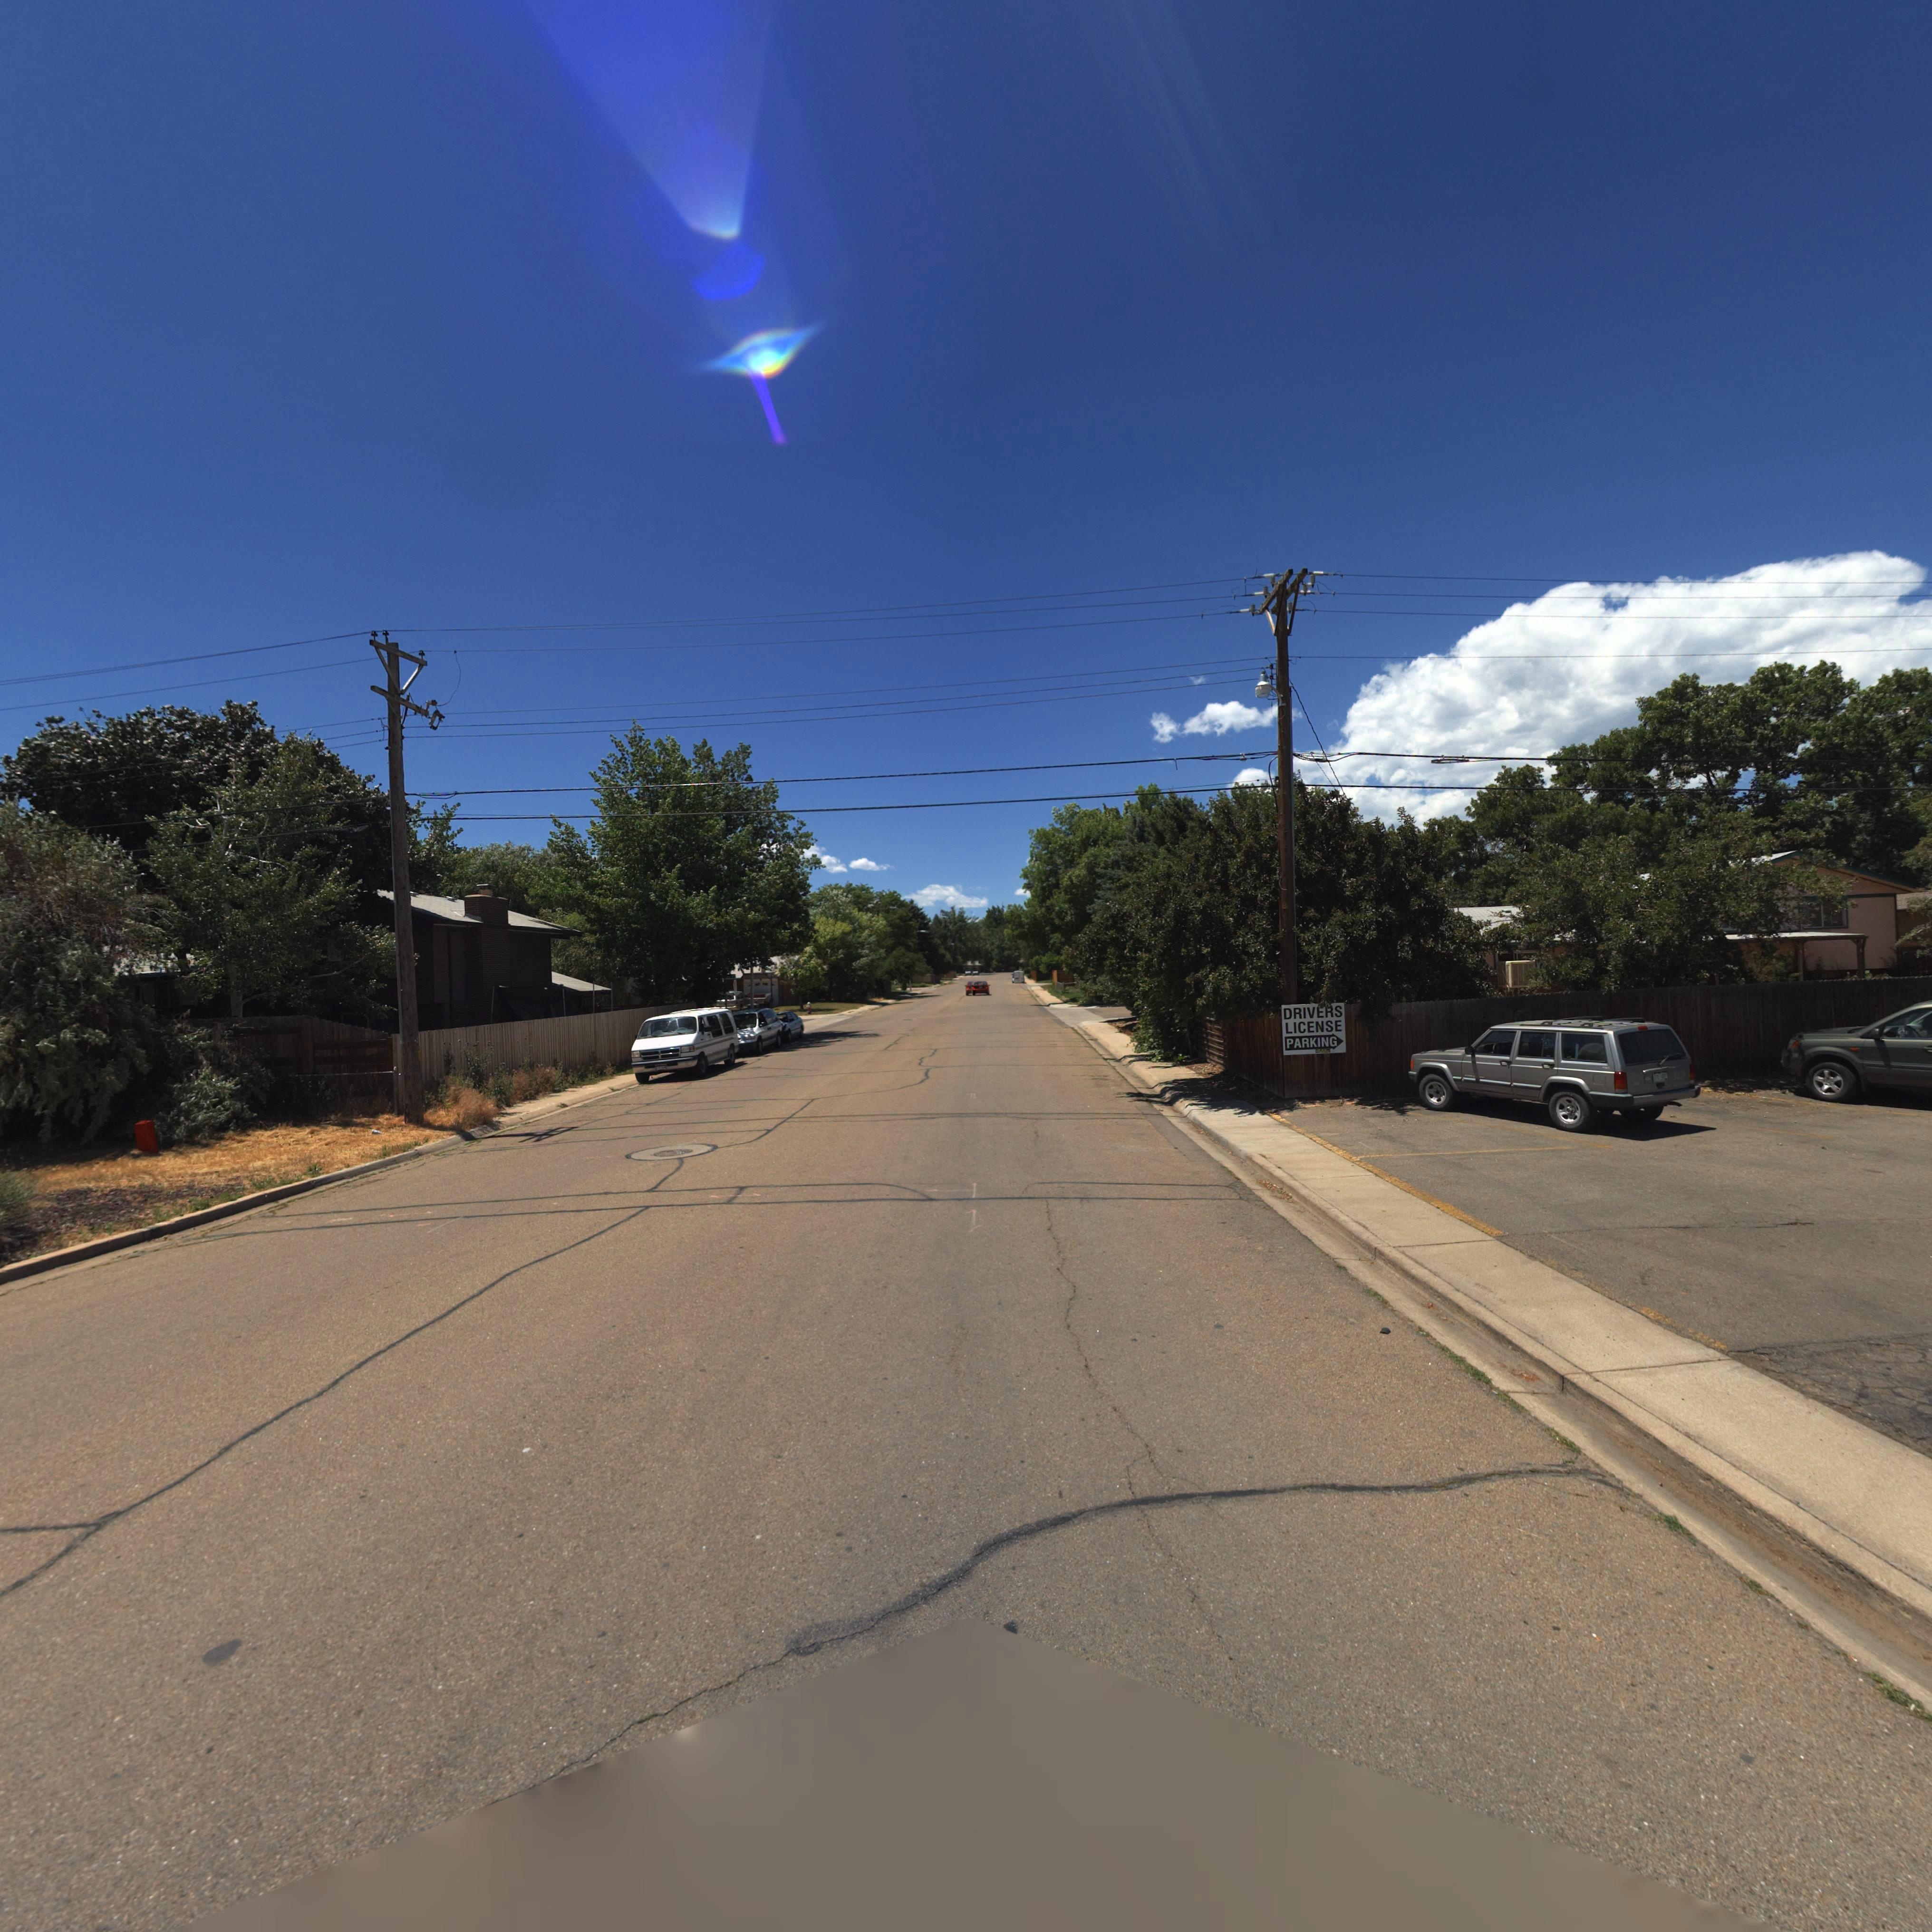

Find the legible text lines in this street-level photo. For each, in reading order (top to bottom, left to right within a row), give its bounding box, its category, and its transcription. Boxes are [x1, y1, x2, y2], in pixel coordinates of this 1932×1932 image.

[1283, 1005, 1343, 1020] BusinessName: DRIVERS
[1285, 1019, 1343, 1034] BusinessName: LICENSE